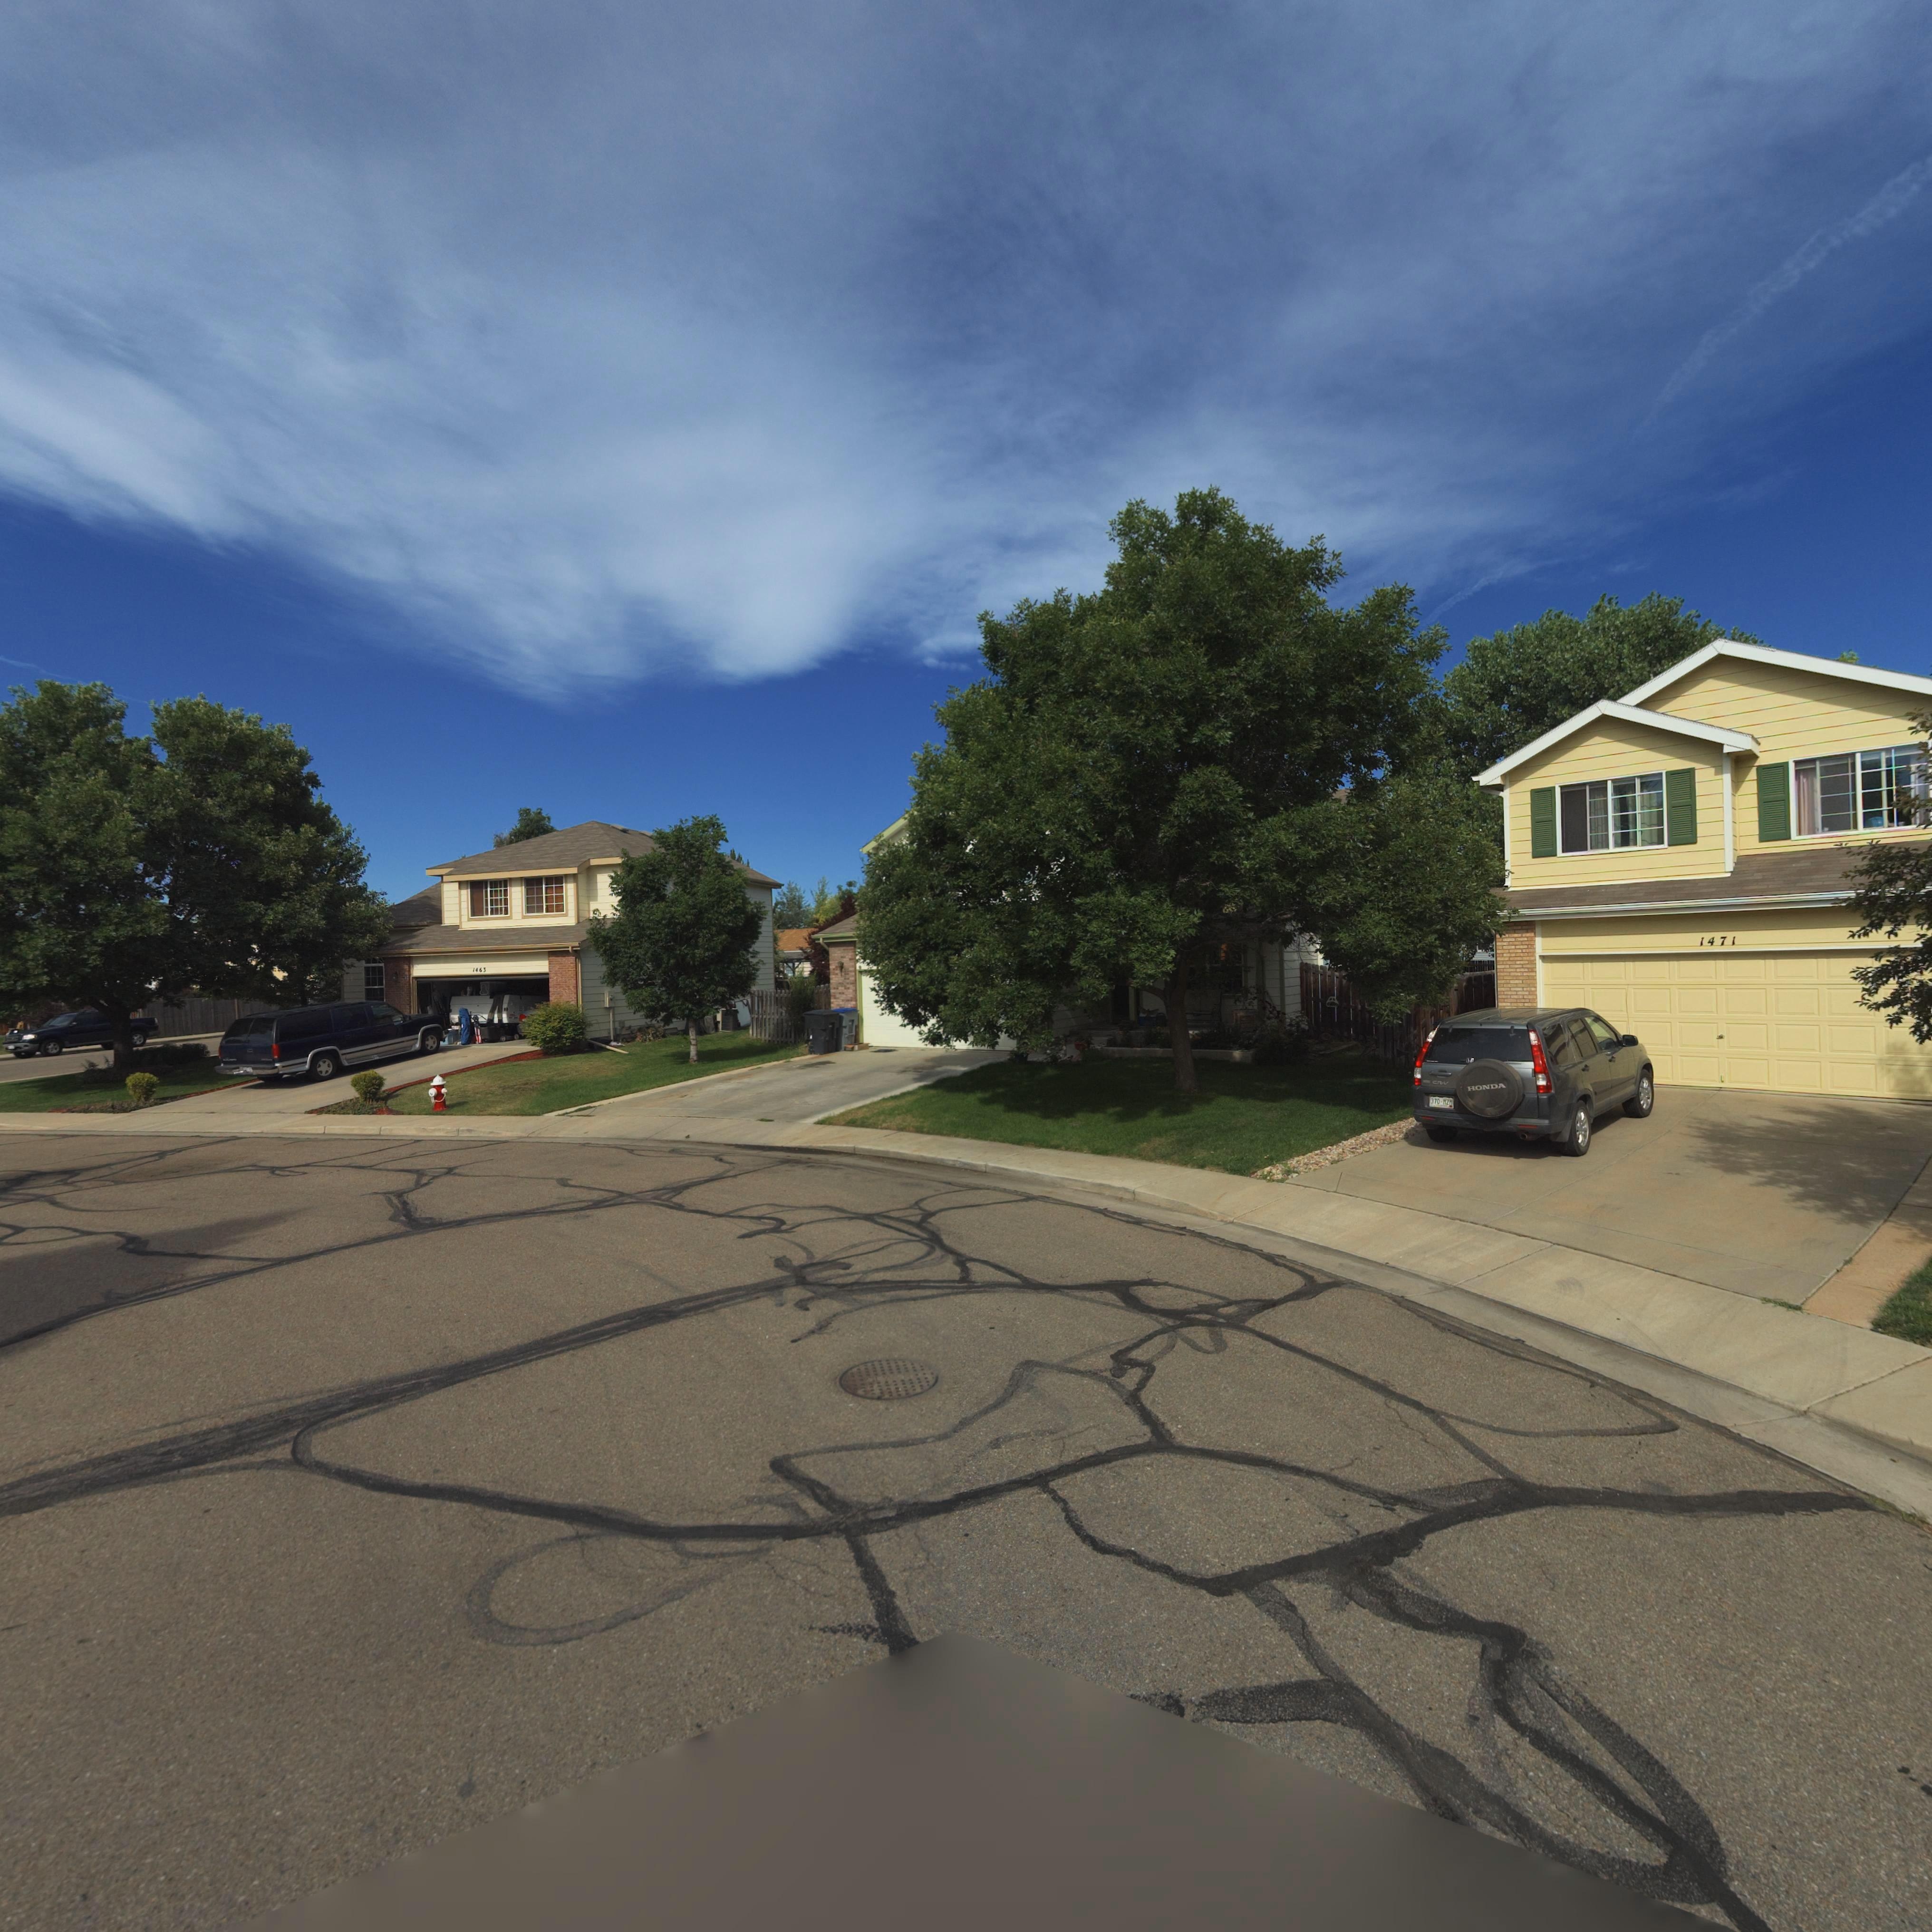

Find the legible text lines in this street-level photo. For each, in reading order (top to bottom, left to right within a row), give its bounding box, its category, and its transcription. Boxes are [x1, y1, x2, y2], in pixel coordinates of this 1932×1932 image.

[1699, 936, 1736, 947] StreetNumber: 1471
[472, 966, 486, 973] StreetNumber: 1463